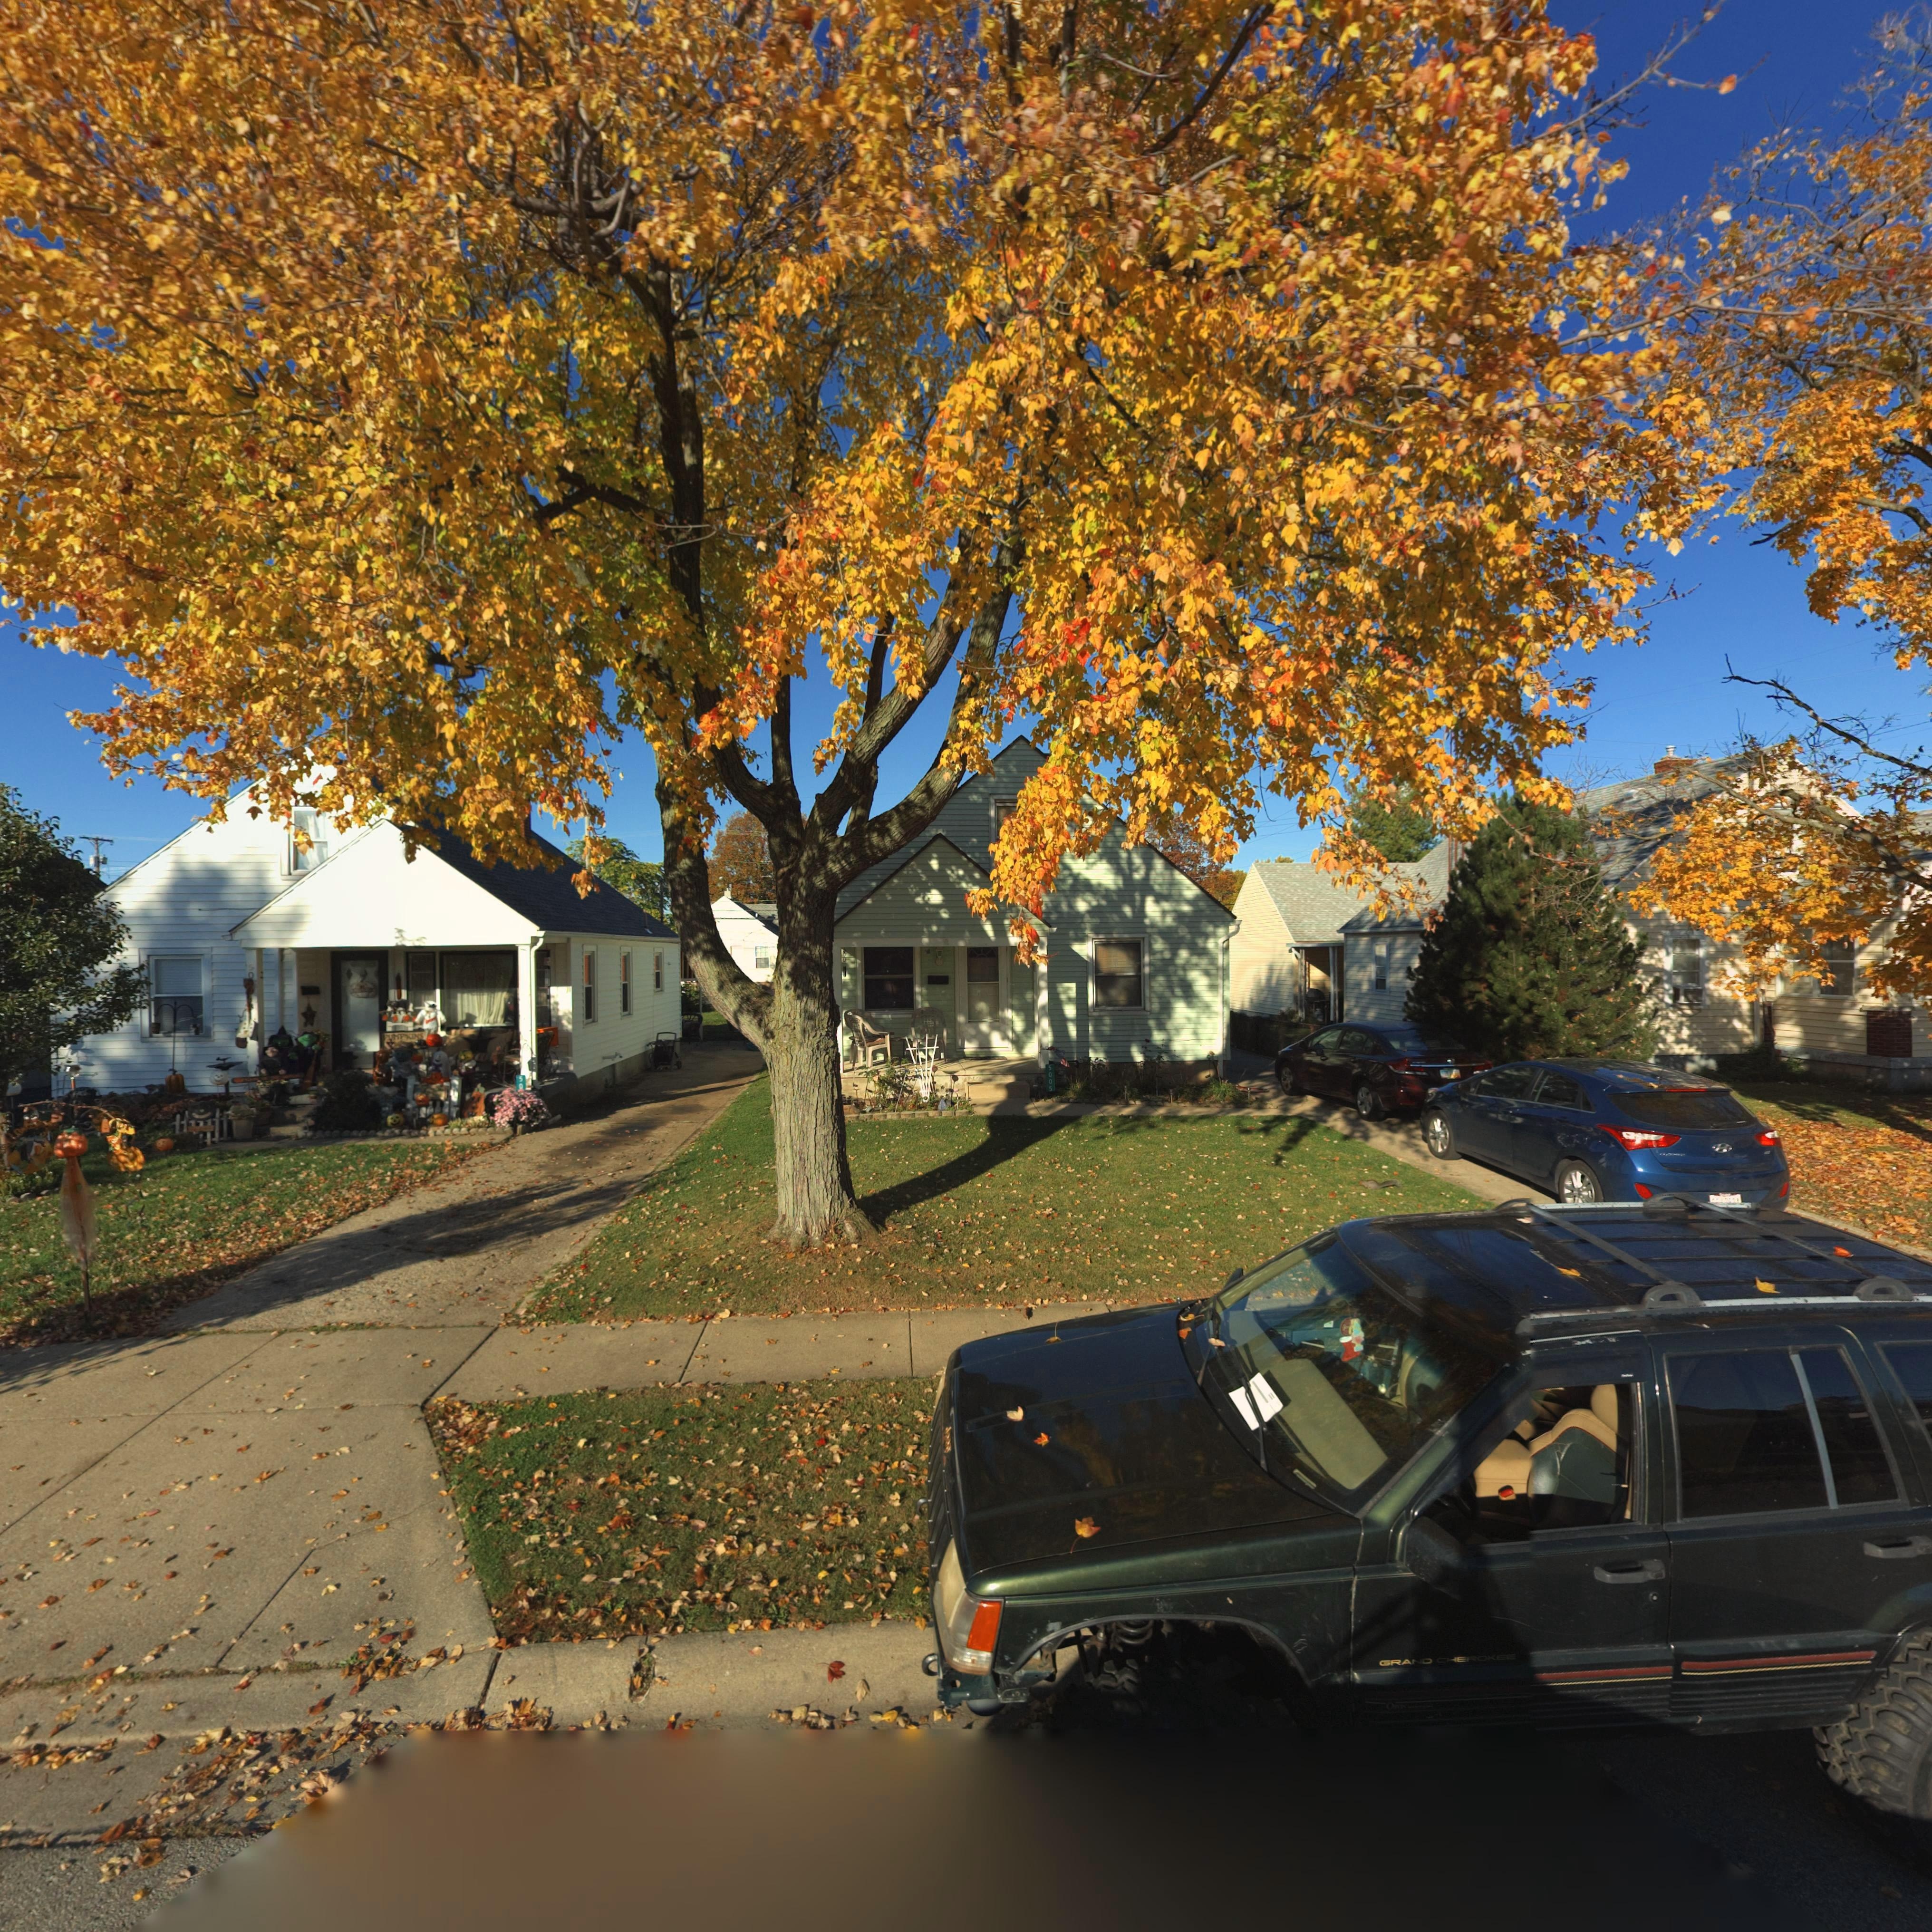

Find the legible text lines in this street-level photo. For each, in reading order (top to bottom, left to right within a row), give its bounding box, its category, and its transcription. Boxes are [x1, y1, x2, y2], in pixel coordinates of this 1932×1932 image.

[247, 963, 255, 980] StreetNumber: 50
[518, 1075, 523, 1090] StreetNumber: 50
[1048, 1064, 1053, 1092] StreetNumber: 5005